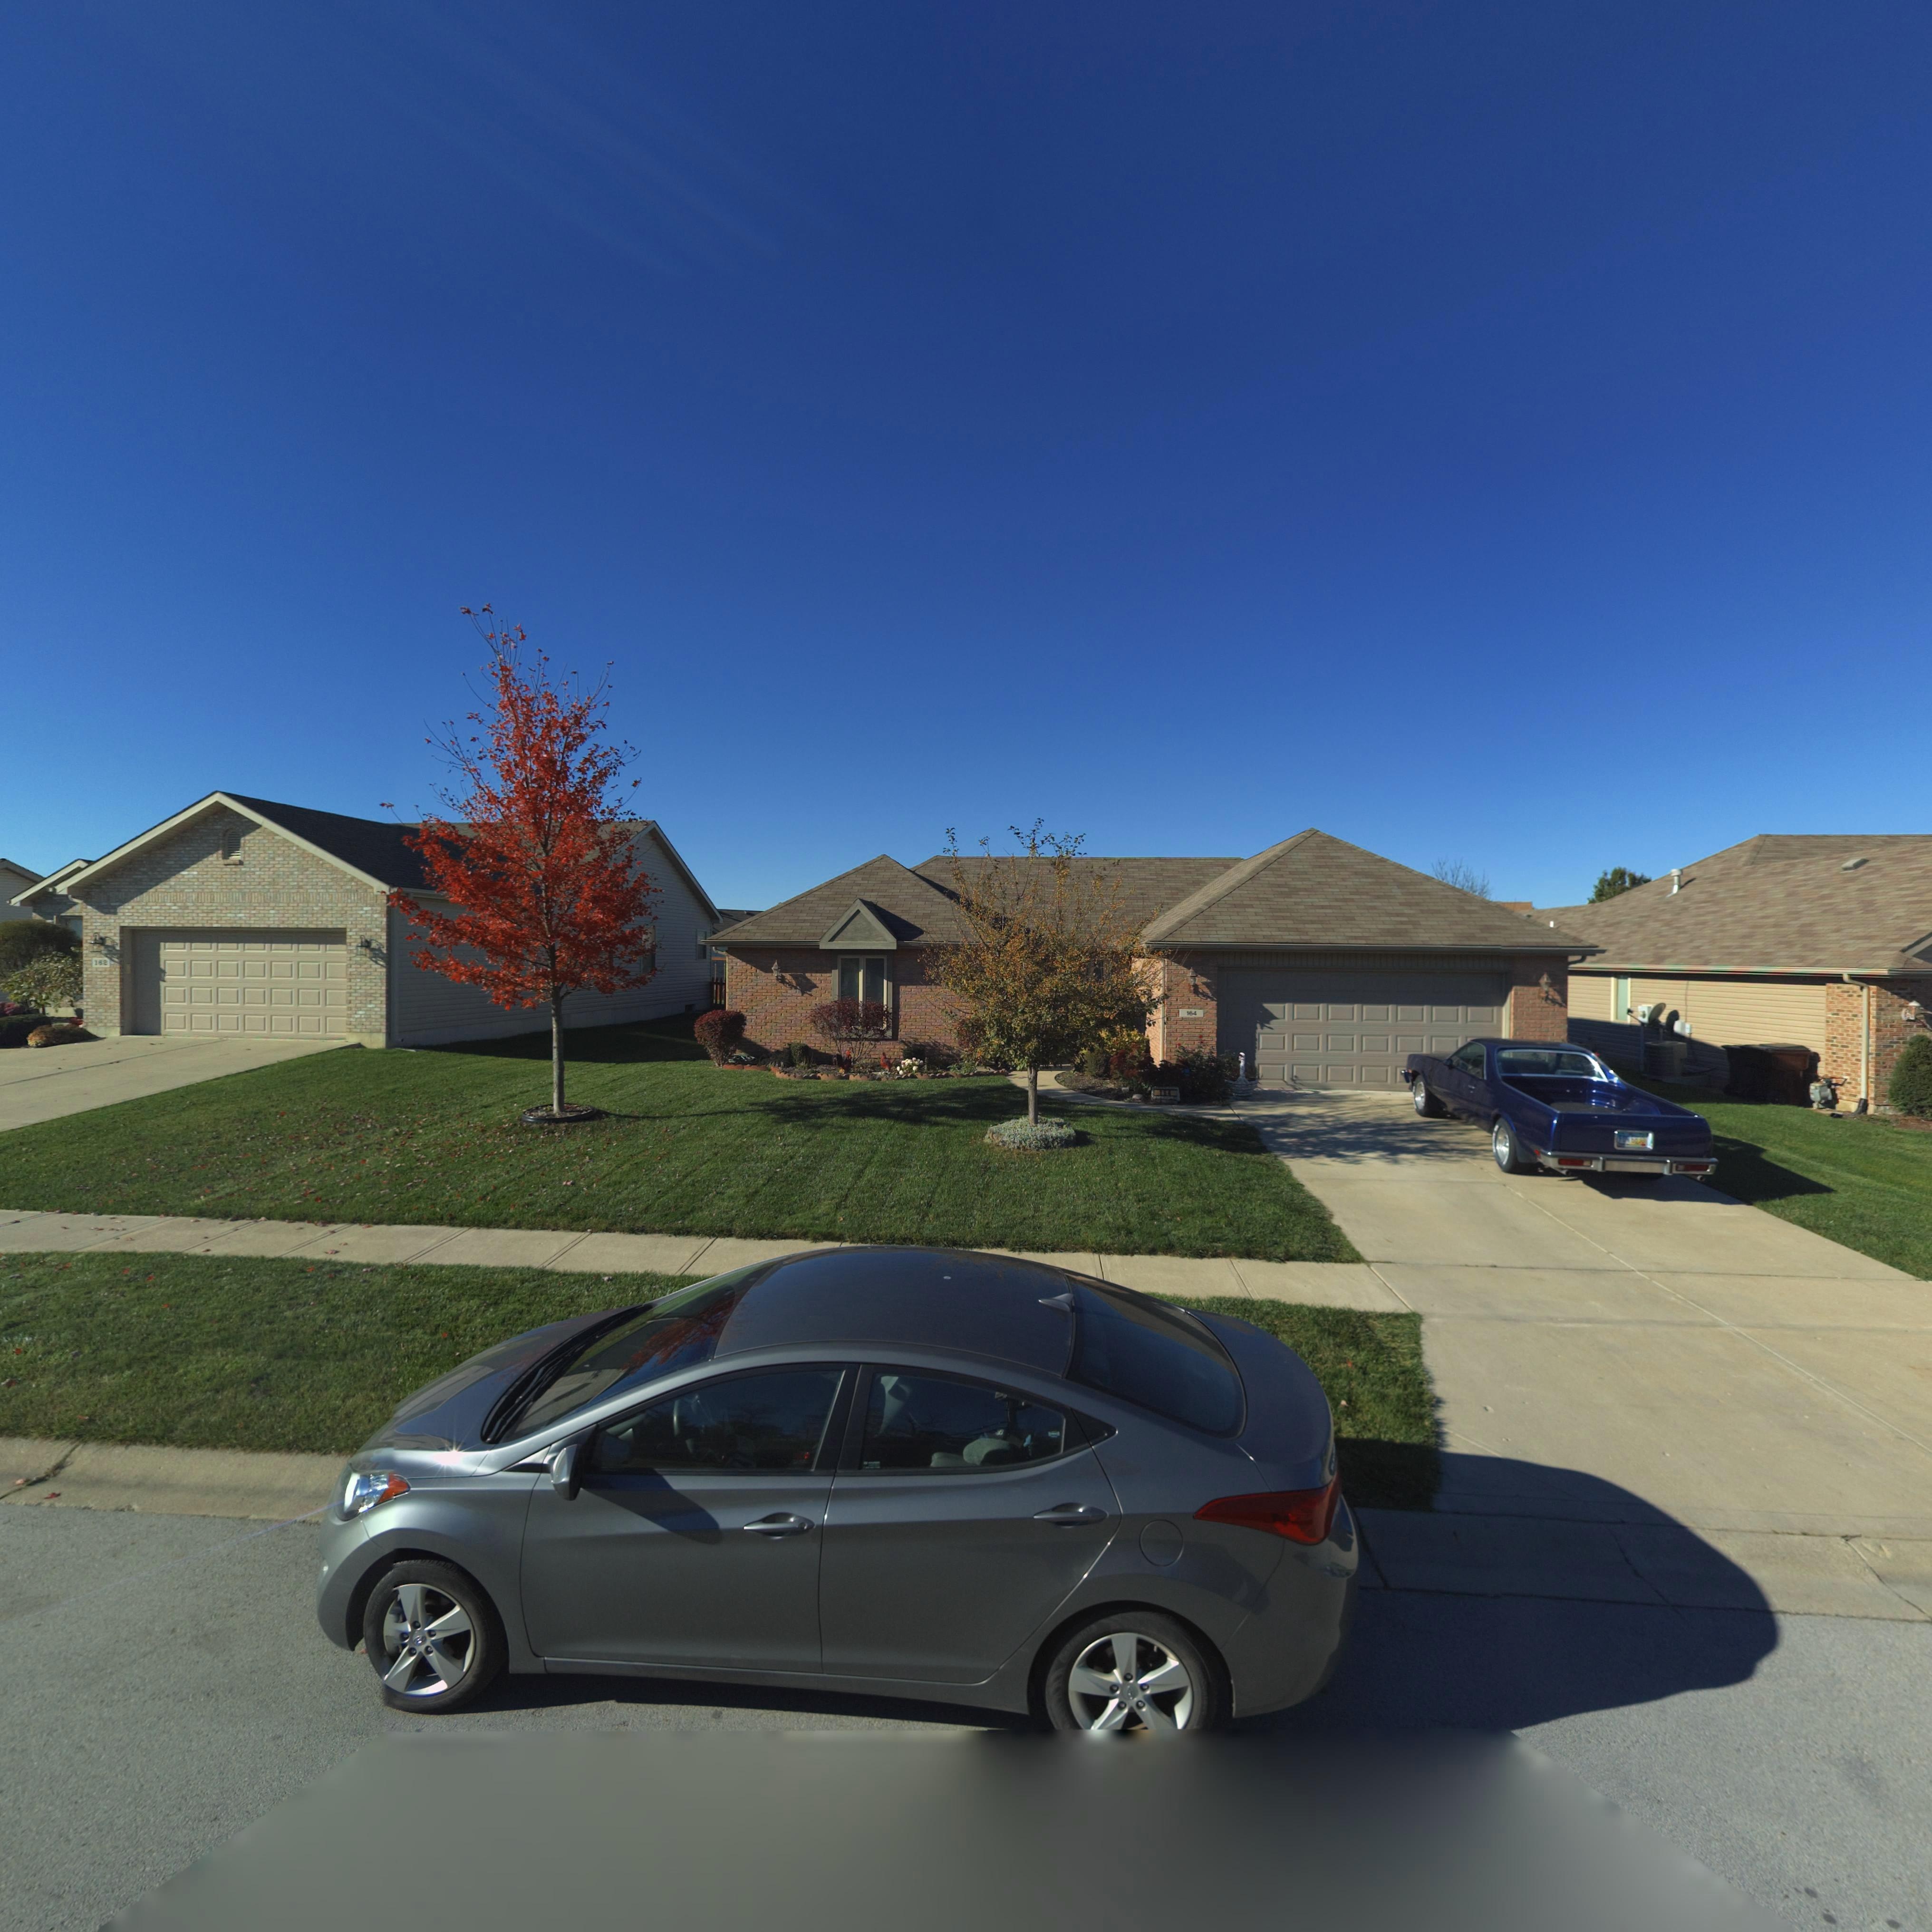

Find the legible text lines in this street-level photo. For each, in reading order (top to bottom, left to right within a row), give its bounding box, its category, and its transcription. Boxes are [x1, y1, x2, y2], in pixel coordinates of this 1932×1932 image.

[94, 959, 108, 966] StreetNumber: 1*2
[1186, 1010, 1198, 1016] StreetNumber: 164
[1159, 1089, 1171, 1096] StreetNumber: 164